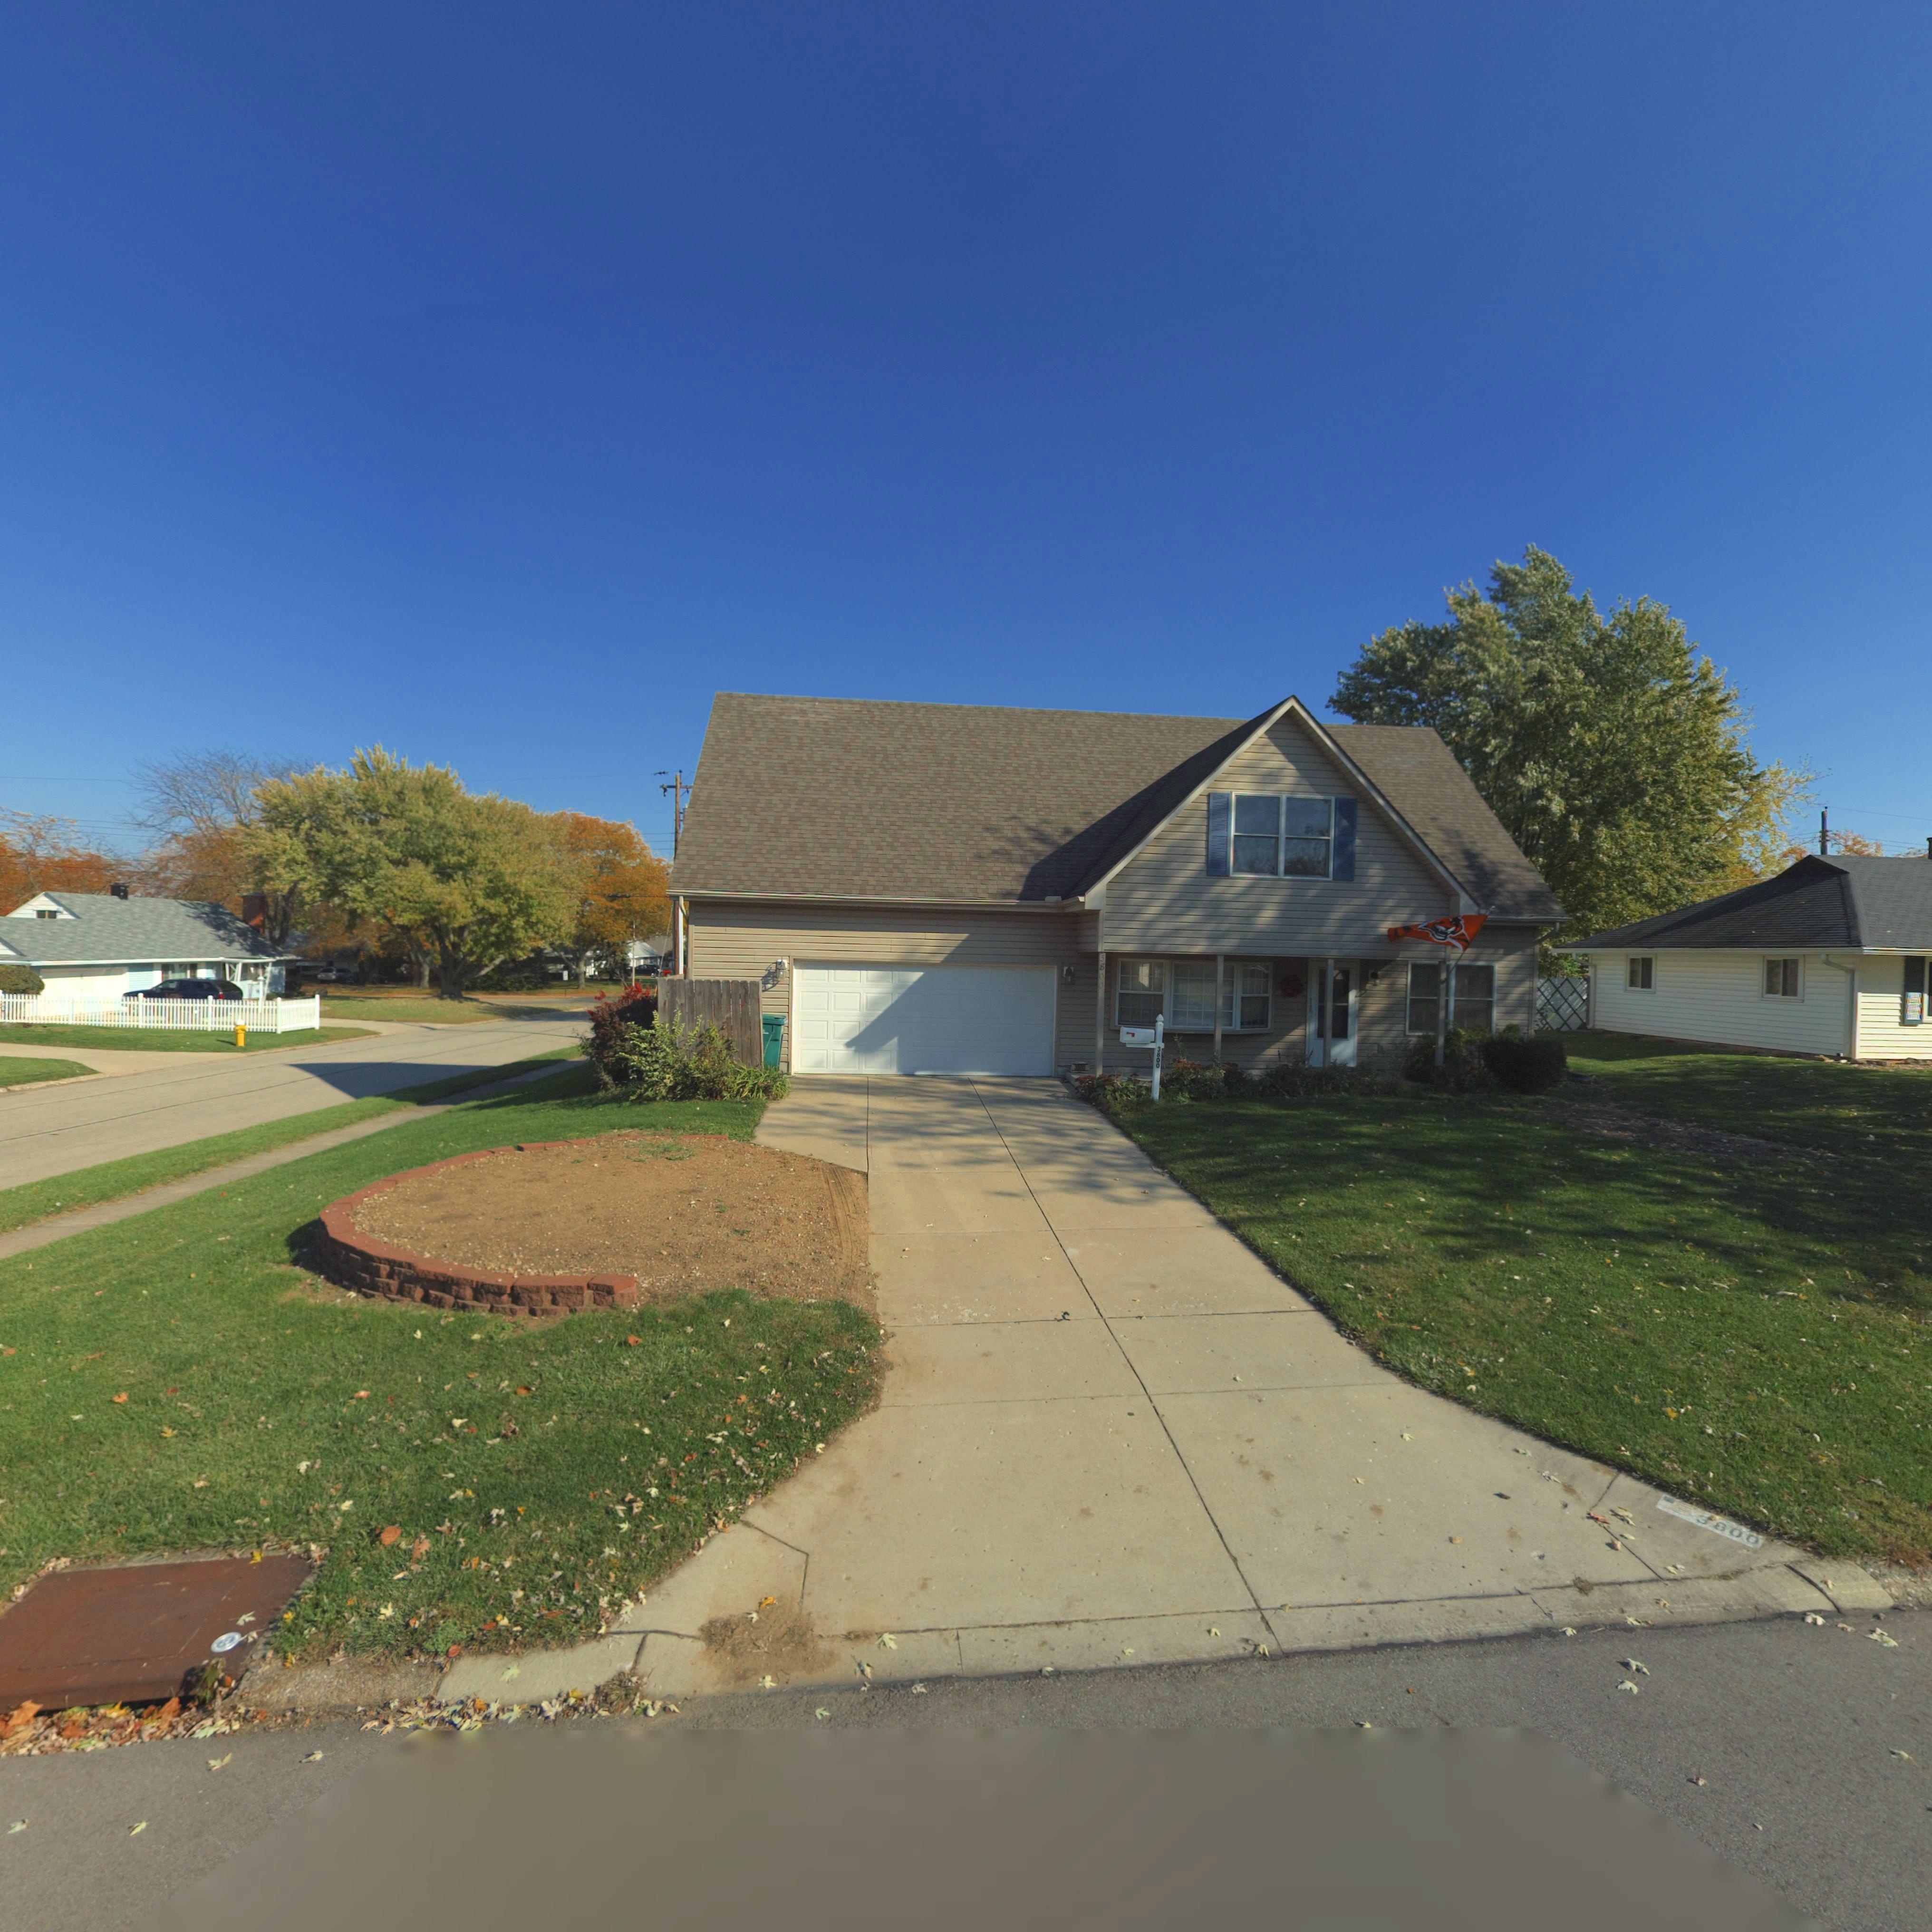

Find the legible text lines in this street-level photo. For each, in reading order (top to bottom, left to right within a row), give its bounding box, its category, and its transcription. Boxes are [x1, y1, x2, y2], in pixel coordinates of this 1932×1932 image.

[1098, 953, 1106, 991] StreetNumber: 3800
[1154, 1044, 1162, 1070] StreetNumber: 3800